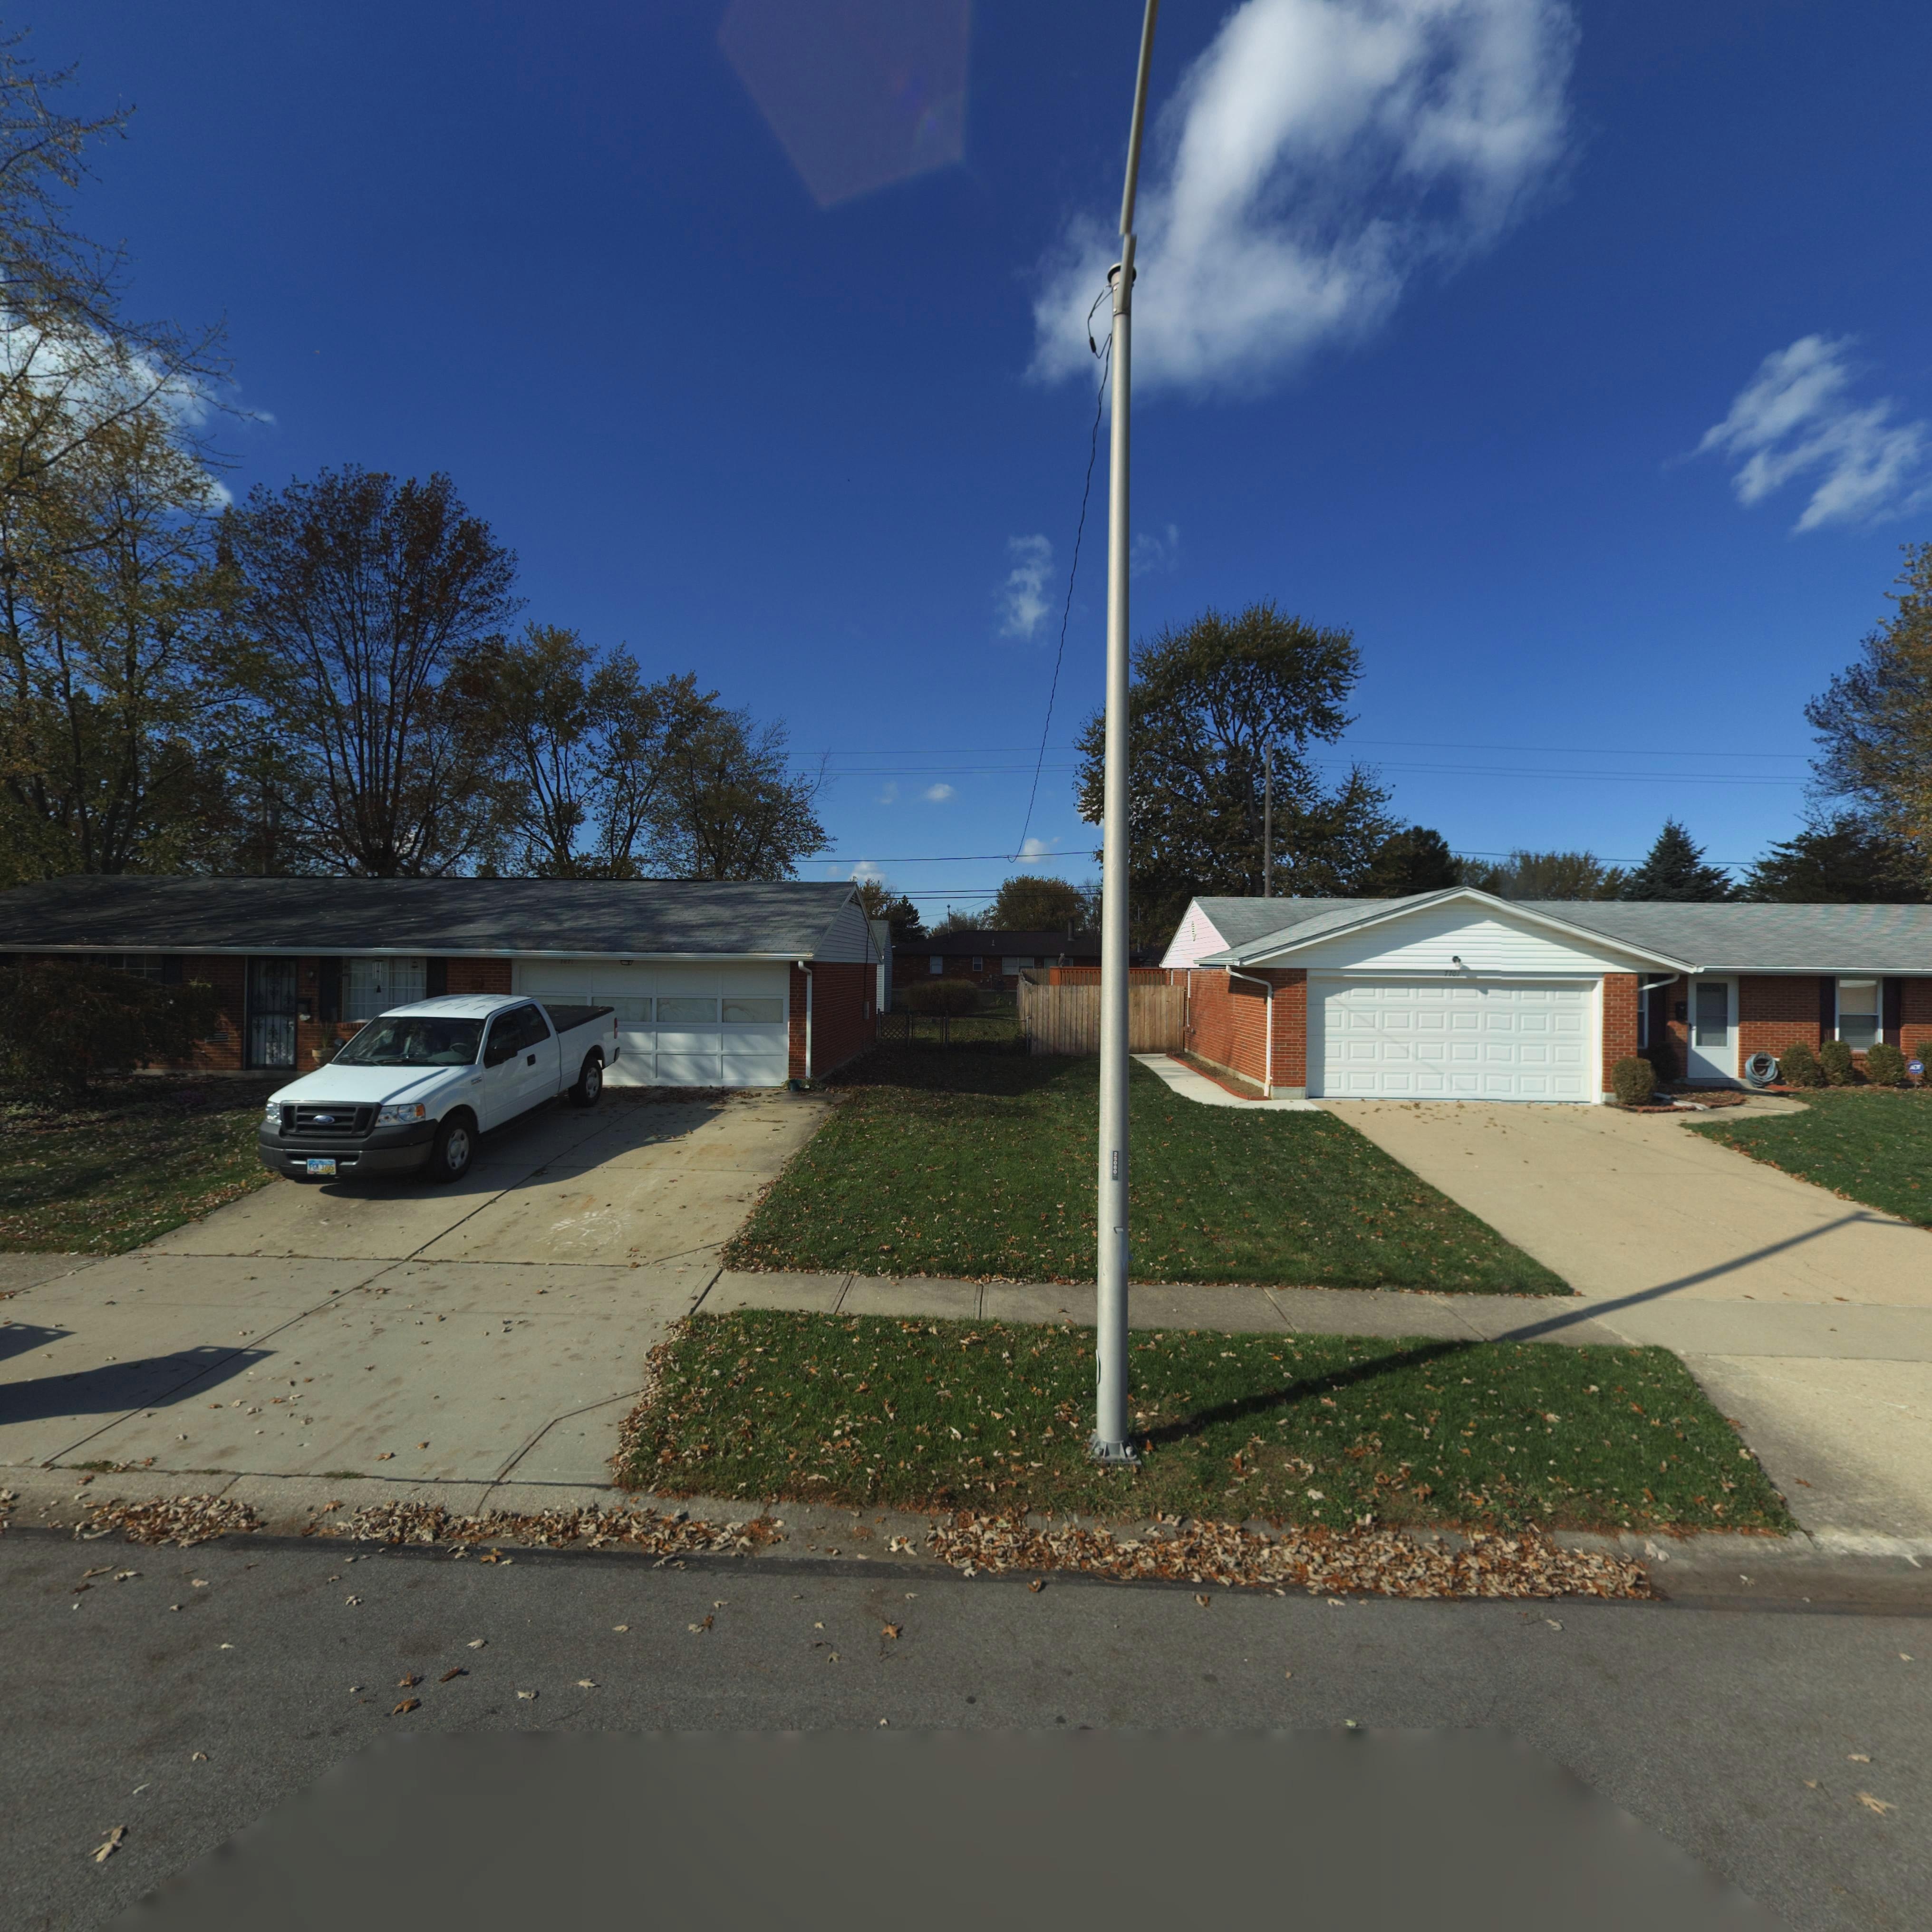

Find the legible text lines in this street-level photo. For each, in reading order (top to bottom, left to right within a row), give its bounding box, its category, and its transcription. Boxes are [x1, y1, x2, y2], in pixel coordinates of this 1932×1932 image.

[560, 958, 574, 965] StreetNumber: 7*7*
[1443, 969, 1462, 978] StreetNumber: 7701